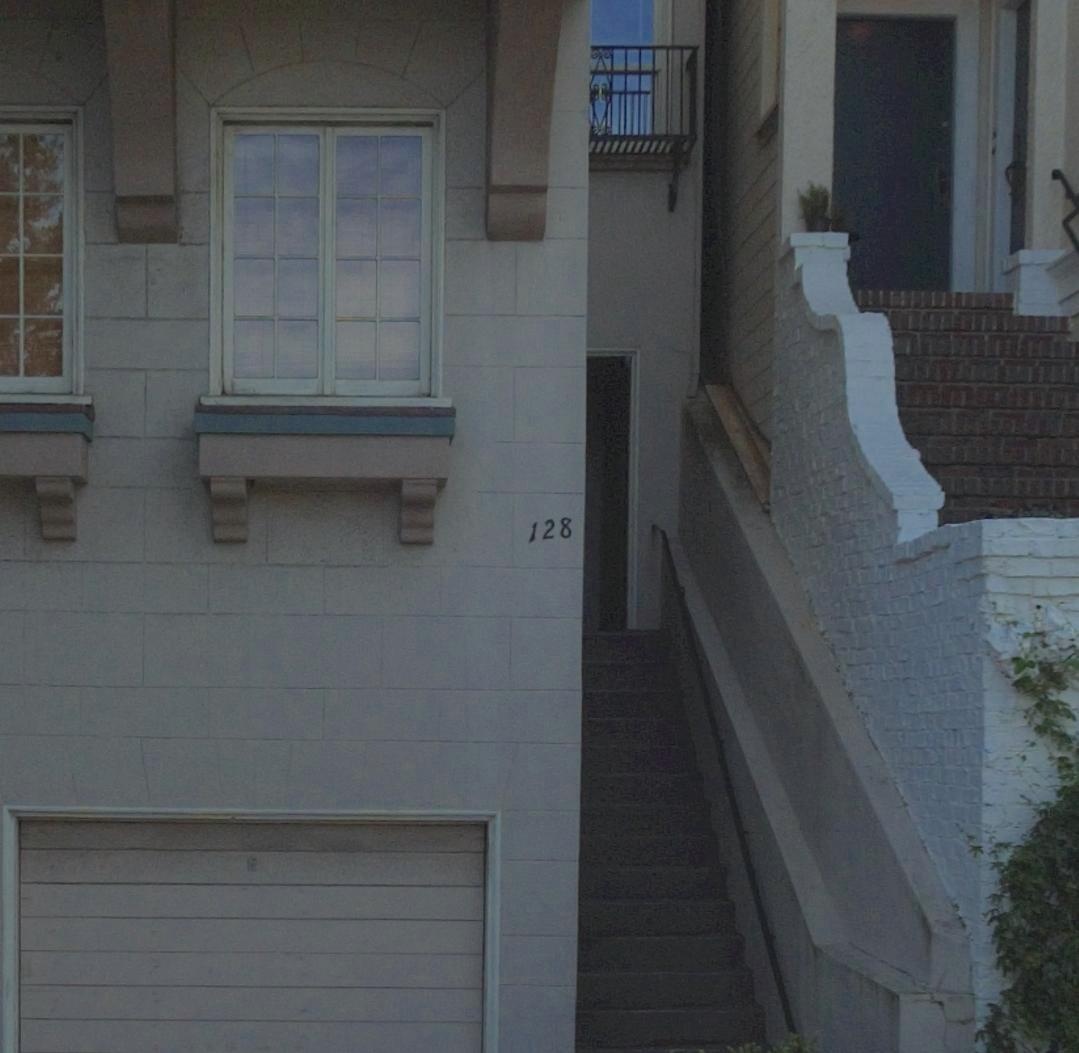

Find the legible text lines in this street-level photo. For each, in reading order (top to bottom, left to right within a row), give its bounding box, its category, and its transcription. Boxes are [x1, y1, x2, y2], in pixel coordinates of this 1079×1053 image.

[524, 512, 575, 547] StreetNumber: 128